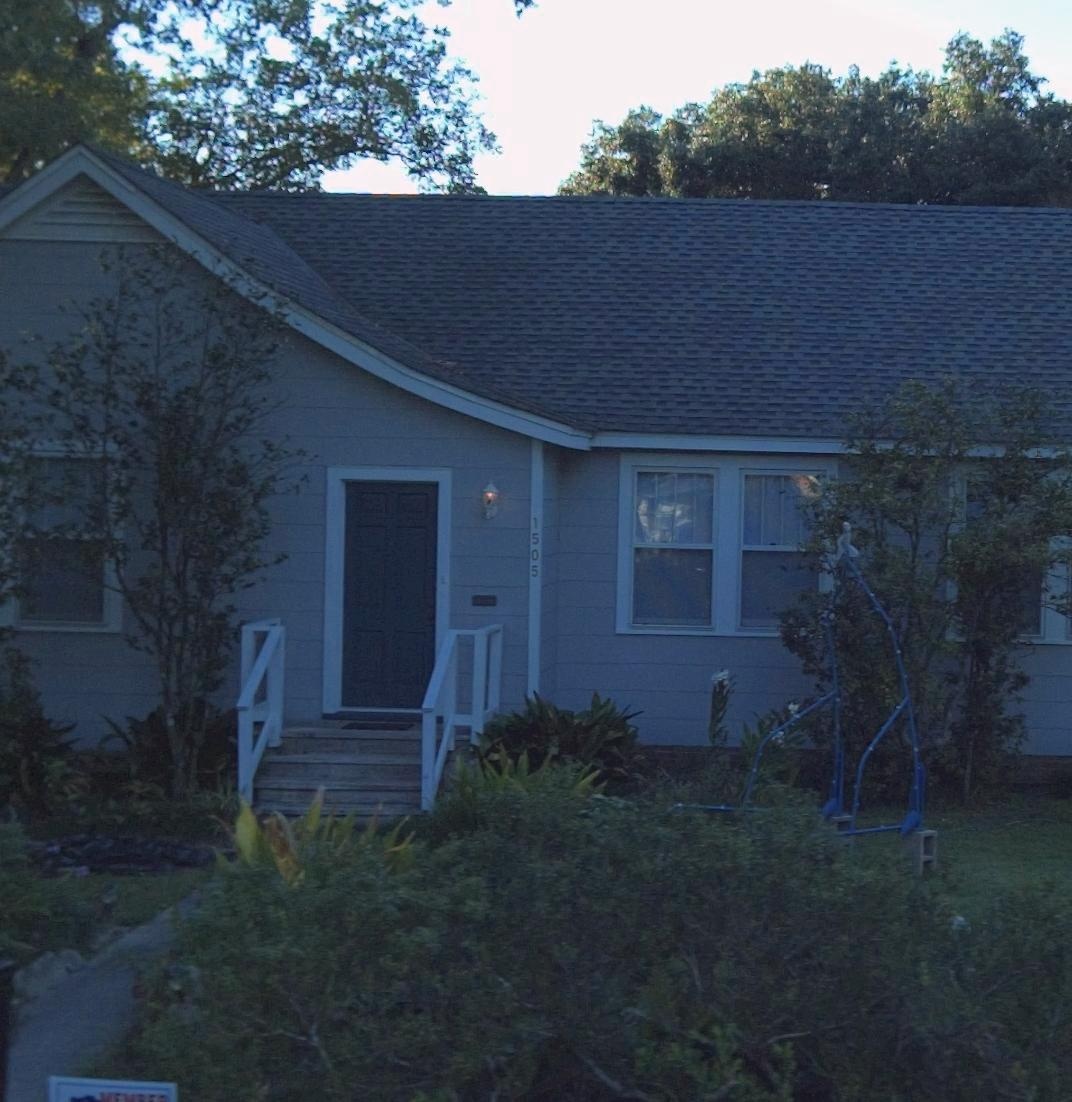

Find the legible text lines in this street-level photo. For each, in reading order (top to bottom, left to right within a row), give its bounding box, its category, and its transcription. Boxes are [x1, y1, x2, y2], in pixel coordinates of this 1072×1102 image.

[529, 515, 541, 579] StreetNumber: 1505